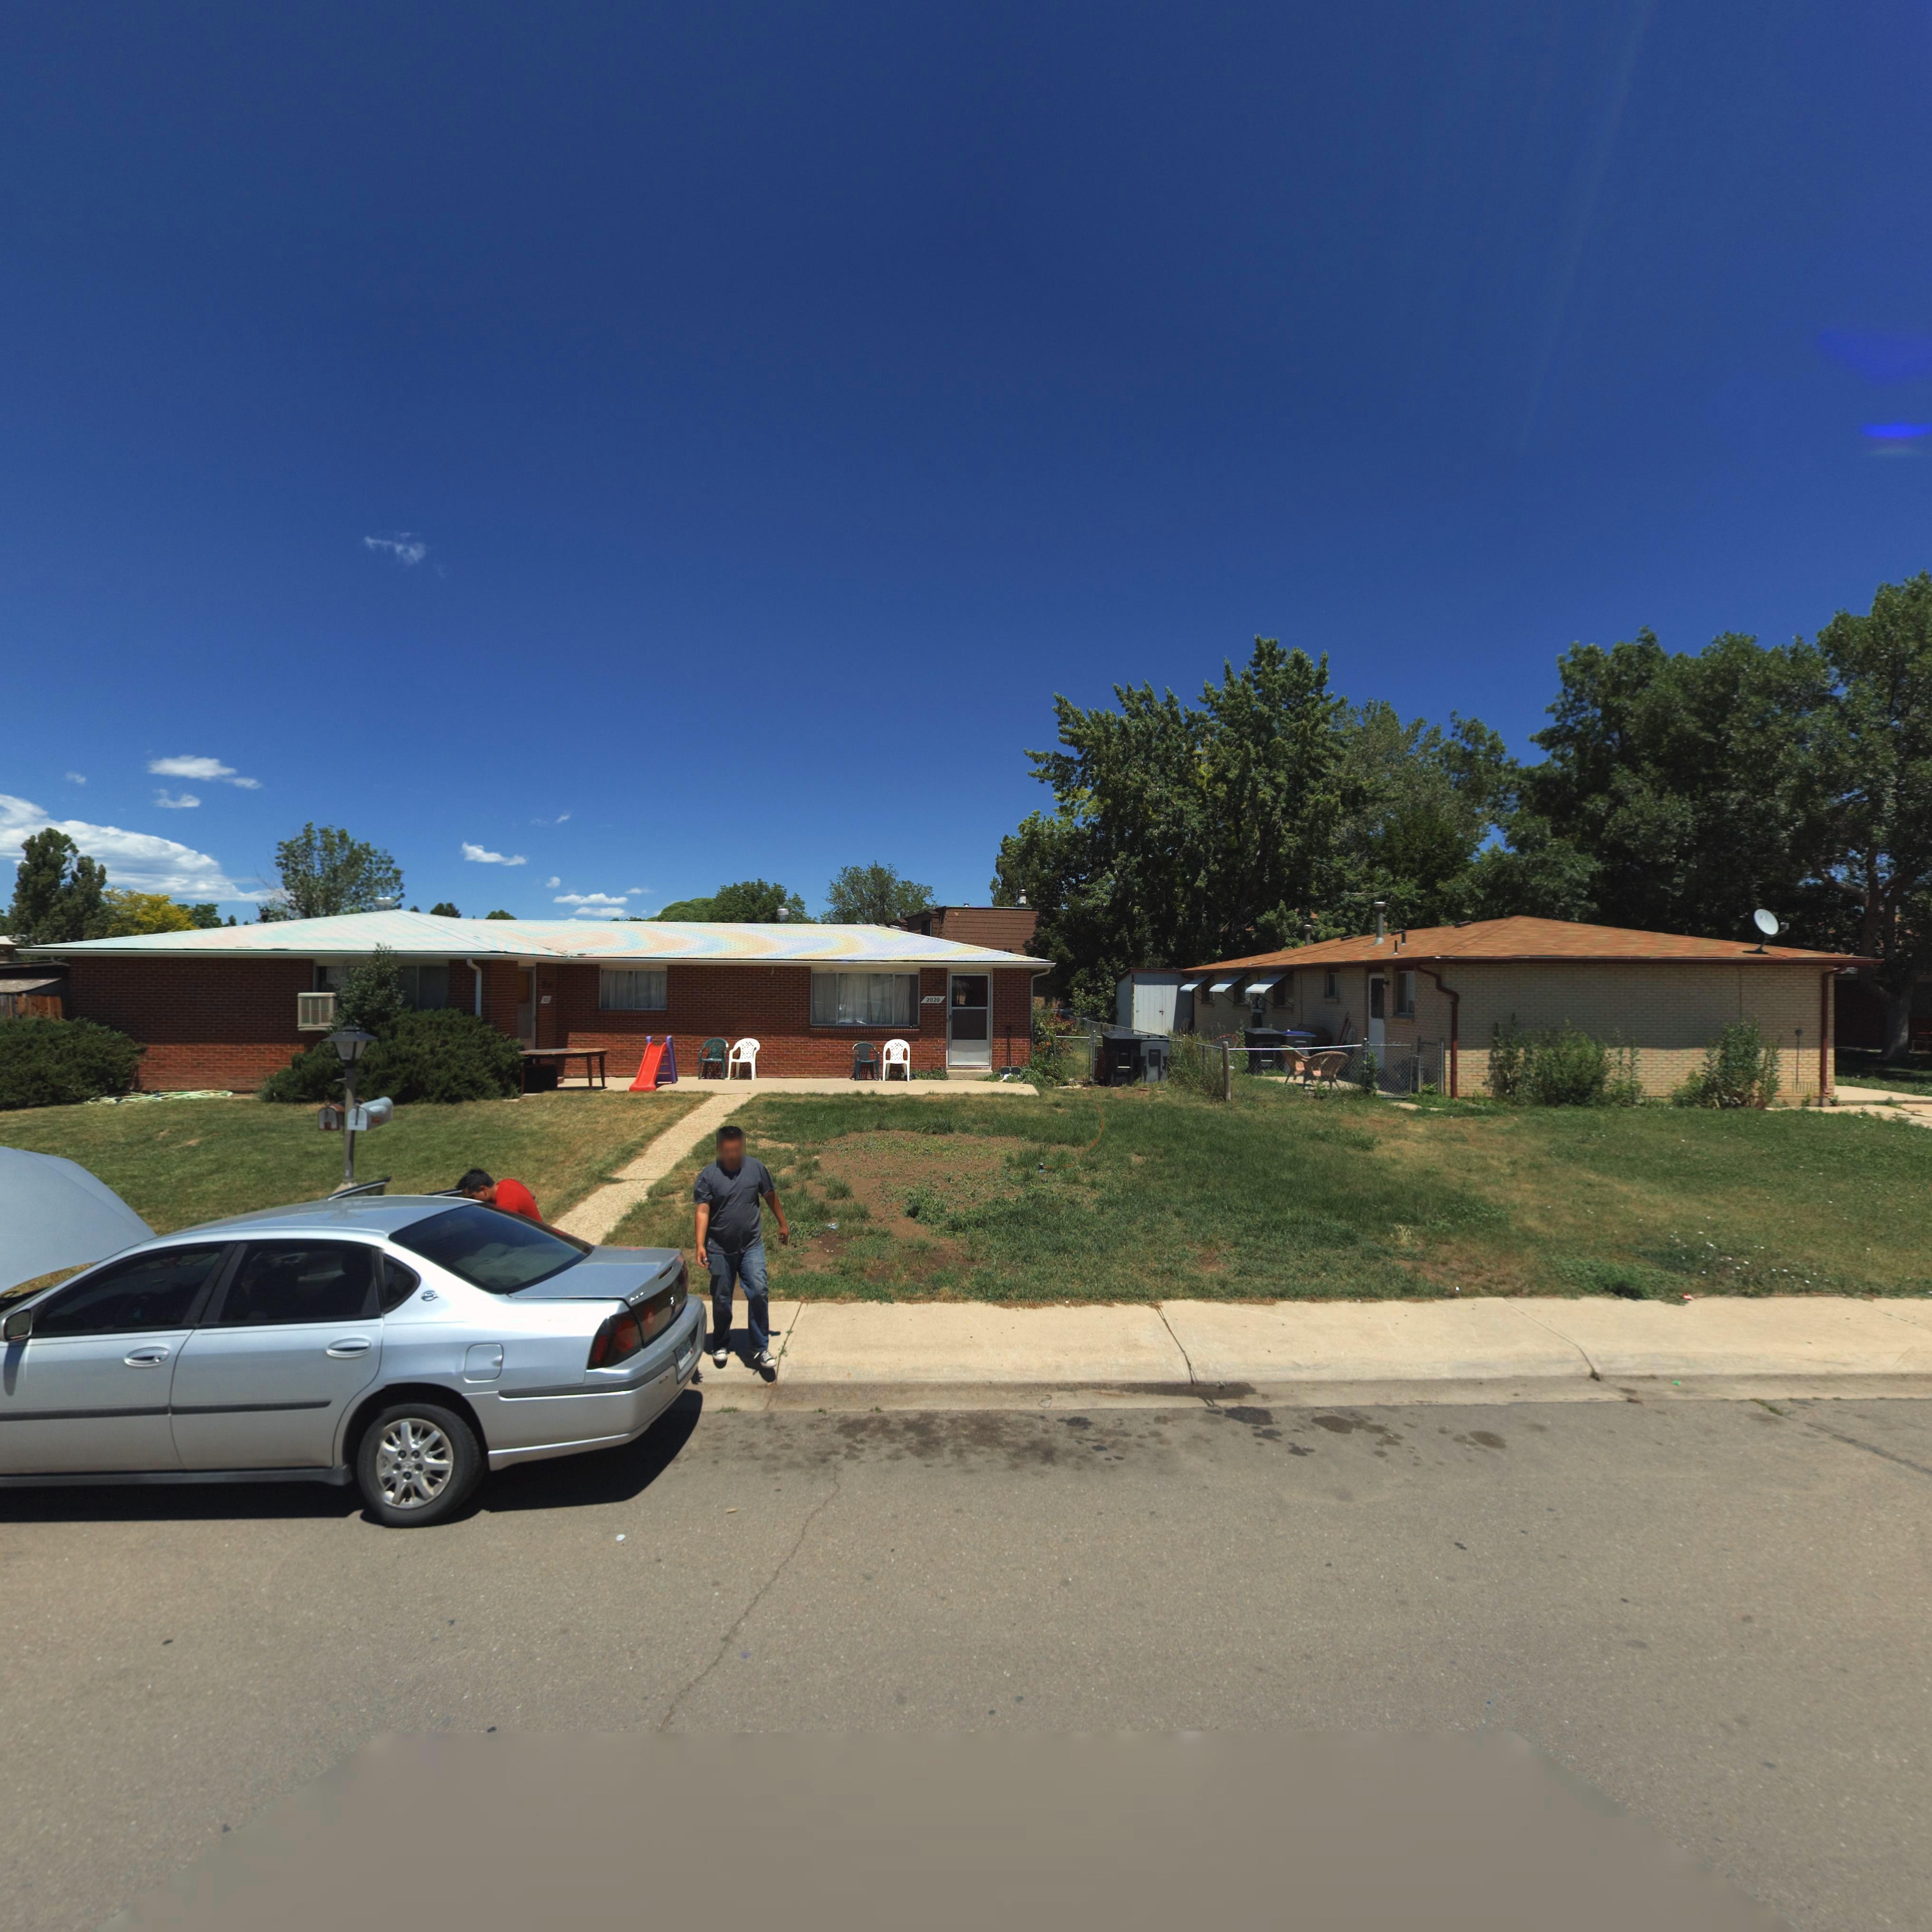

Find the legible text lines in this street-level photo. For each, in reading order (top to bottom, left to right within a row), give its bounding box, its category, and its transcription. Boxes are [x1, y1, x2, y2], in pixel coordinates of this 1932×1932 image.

[543, 997, 550, 1002] StreetNumber: ***2
[926, 997, 940, 1002] StreetNumber: 2020